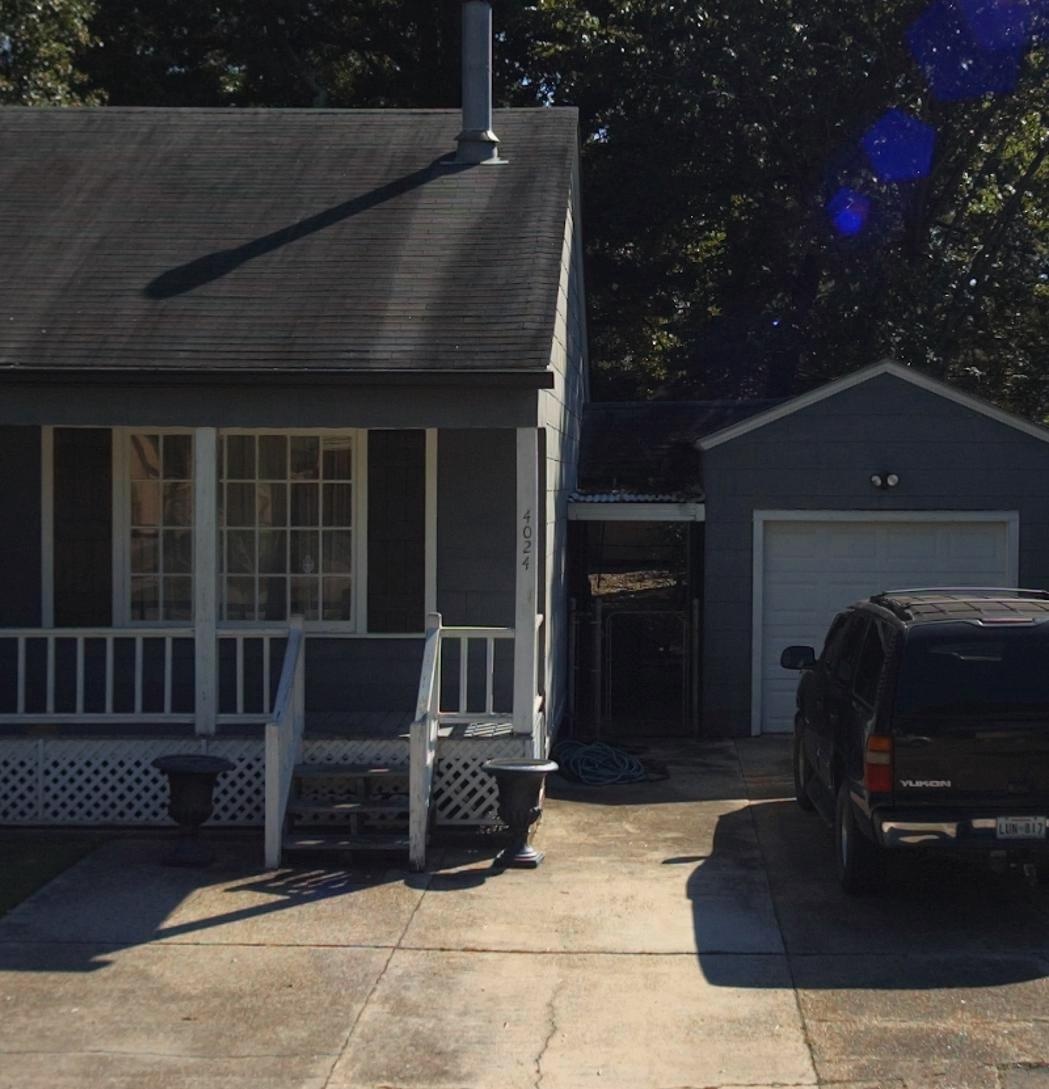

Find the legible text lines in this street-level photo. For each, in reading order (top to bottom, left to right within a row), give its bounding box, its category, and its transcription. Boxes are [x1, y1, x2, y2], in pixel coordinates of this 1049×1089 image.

[521, 508, 533, 572] StreetNumber: 4024
[898, 779, 952, 788] None: YUKON
[998, 821, 1045, 836] None: LUN*817